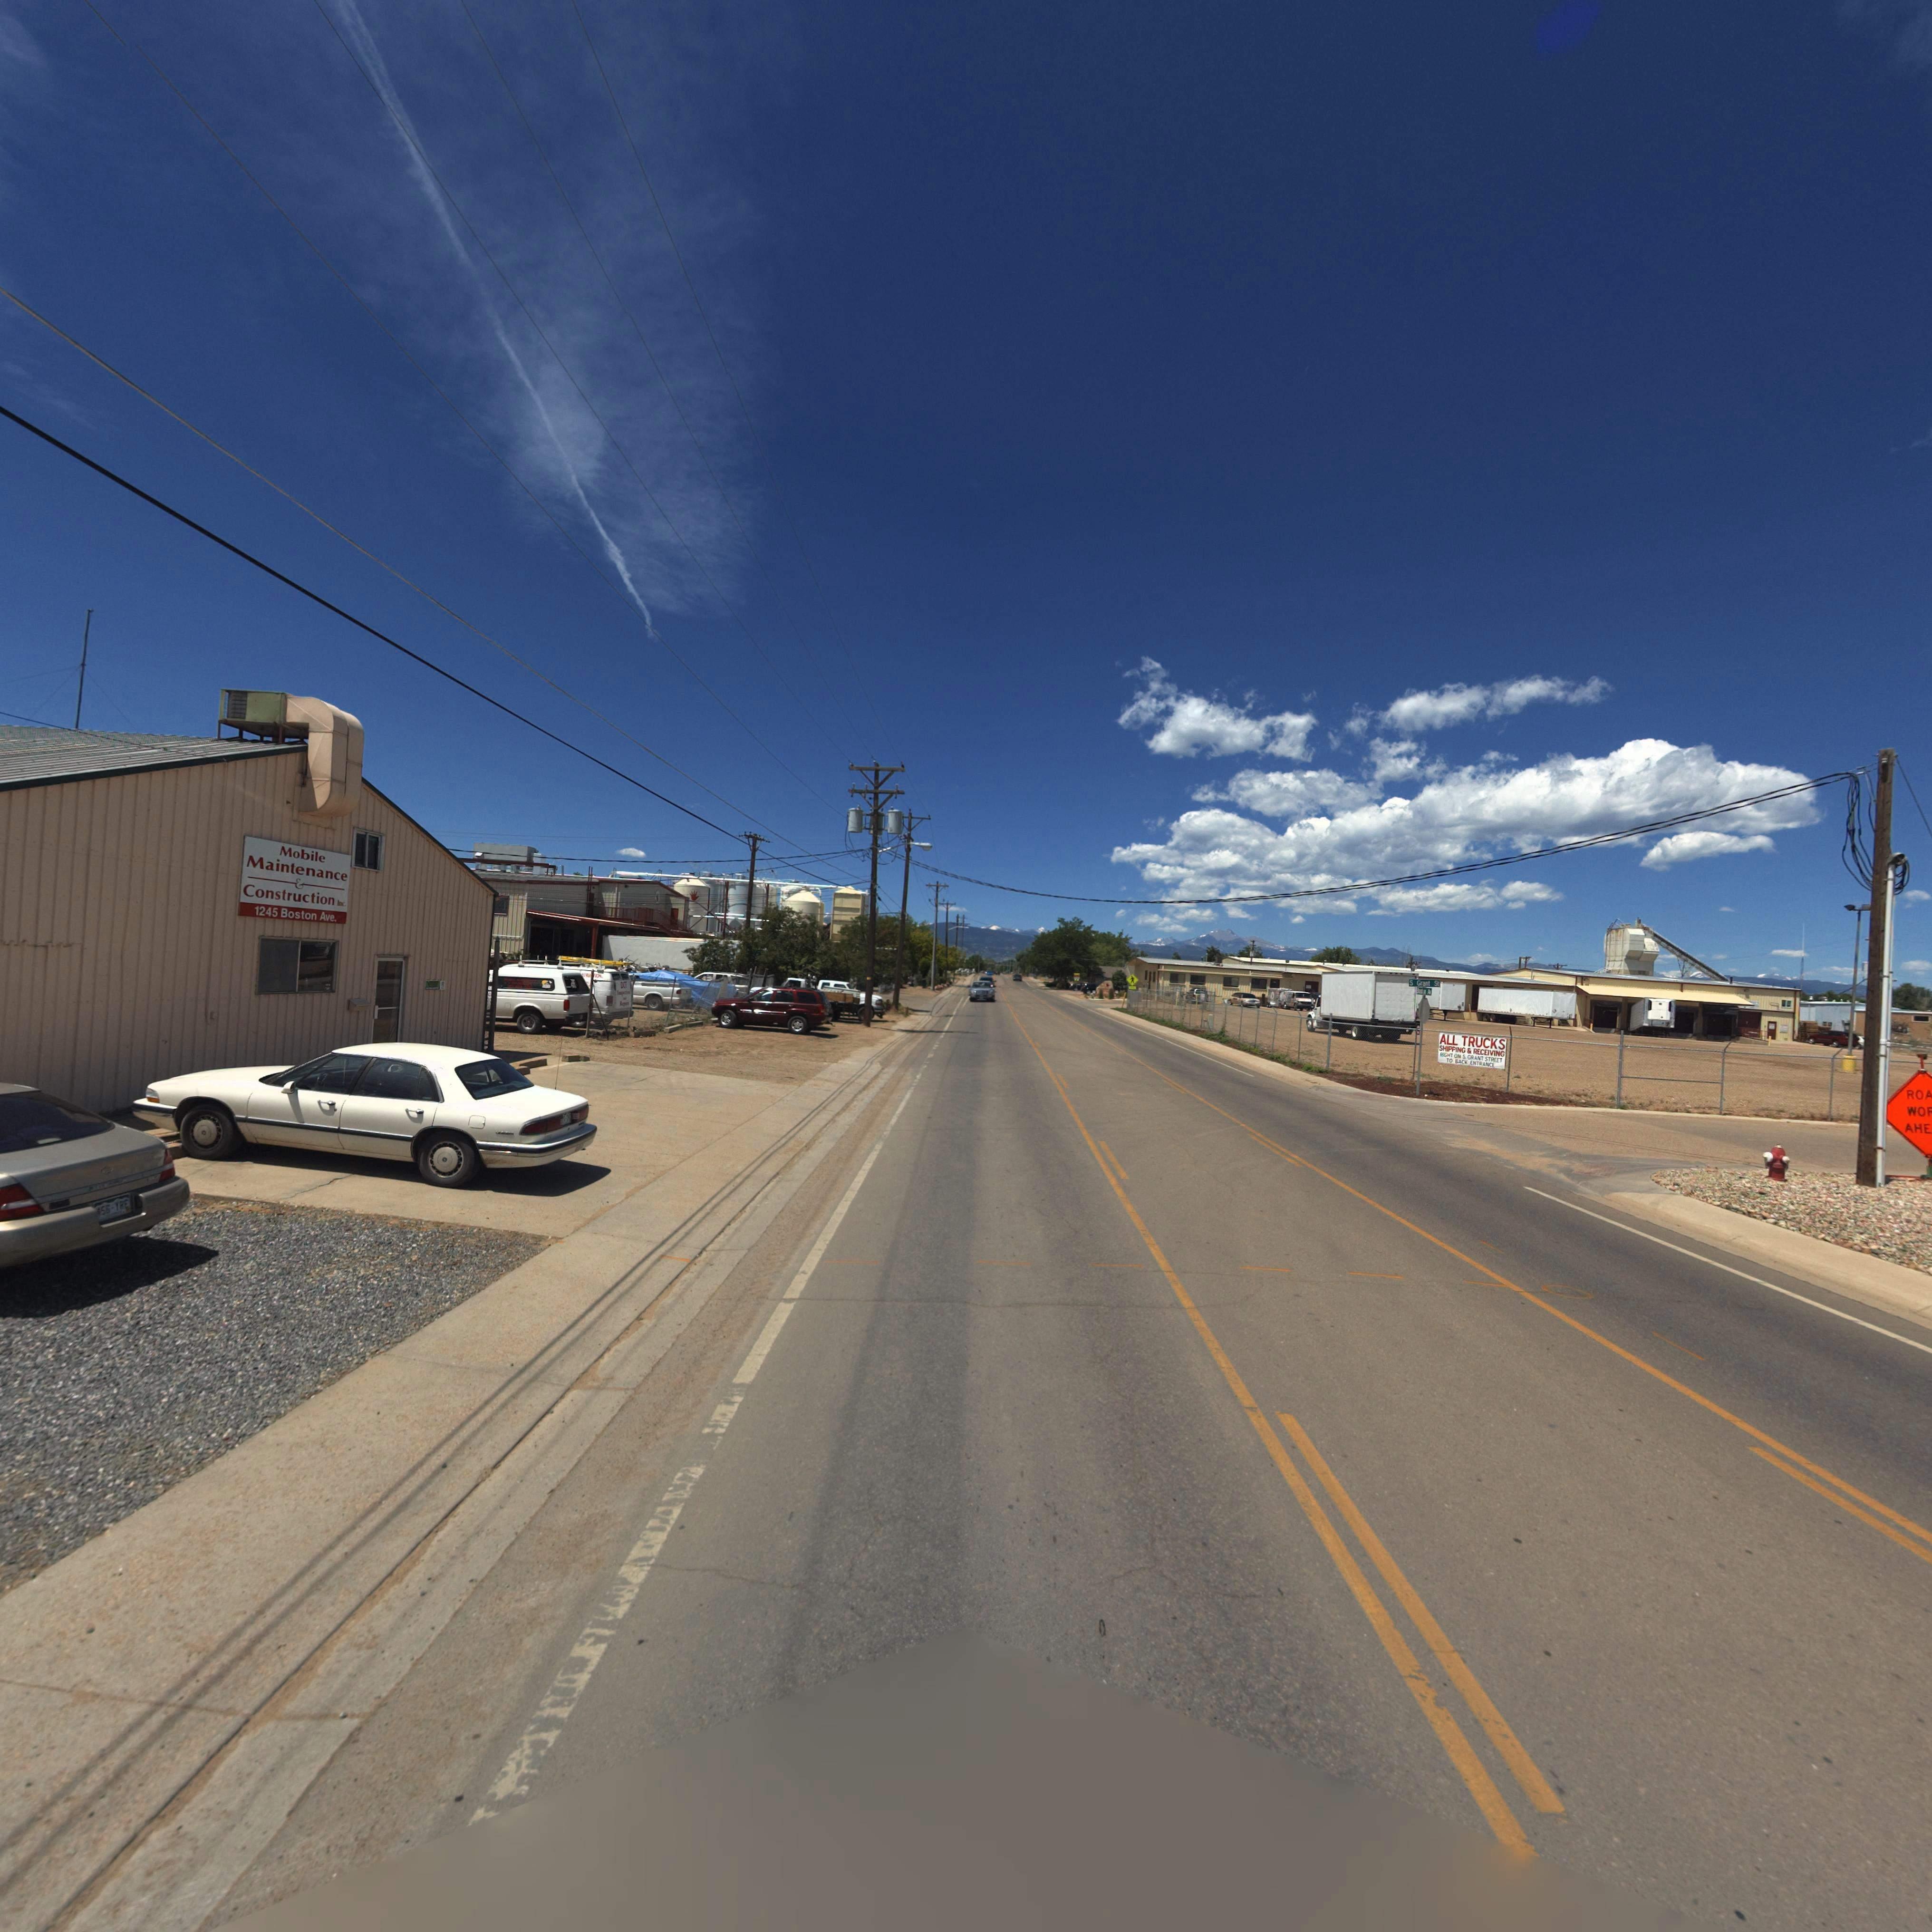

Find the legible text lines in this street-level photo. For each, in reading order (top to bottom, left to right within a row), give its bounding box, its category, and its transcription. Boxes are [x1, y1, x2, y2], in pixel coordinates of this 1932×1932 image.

[245, 854, 348, 882] BusinessName: Maintenance
[242, 883, 346, 907] BusinessName: Construction Inc.
[254, 905, 278, 918] StreetNumber: 1245
[280, 907, 337, 922] None: Boston Ave.
[620, 981, 627, 989] BusinessName: DOT
[1409, 979, 1439, 986] StreetName: S Grant St
[617, 990, 623, 996] BusinessName: I**p
[1416, 987, 1431, 995] StreetName: B****n A*
[619, 1000, 625, 1008] BusinessName: Rep
[1462, 1054, 1502, 1063] StreetName: S. GRANT STREET